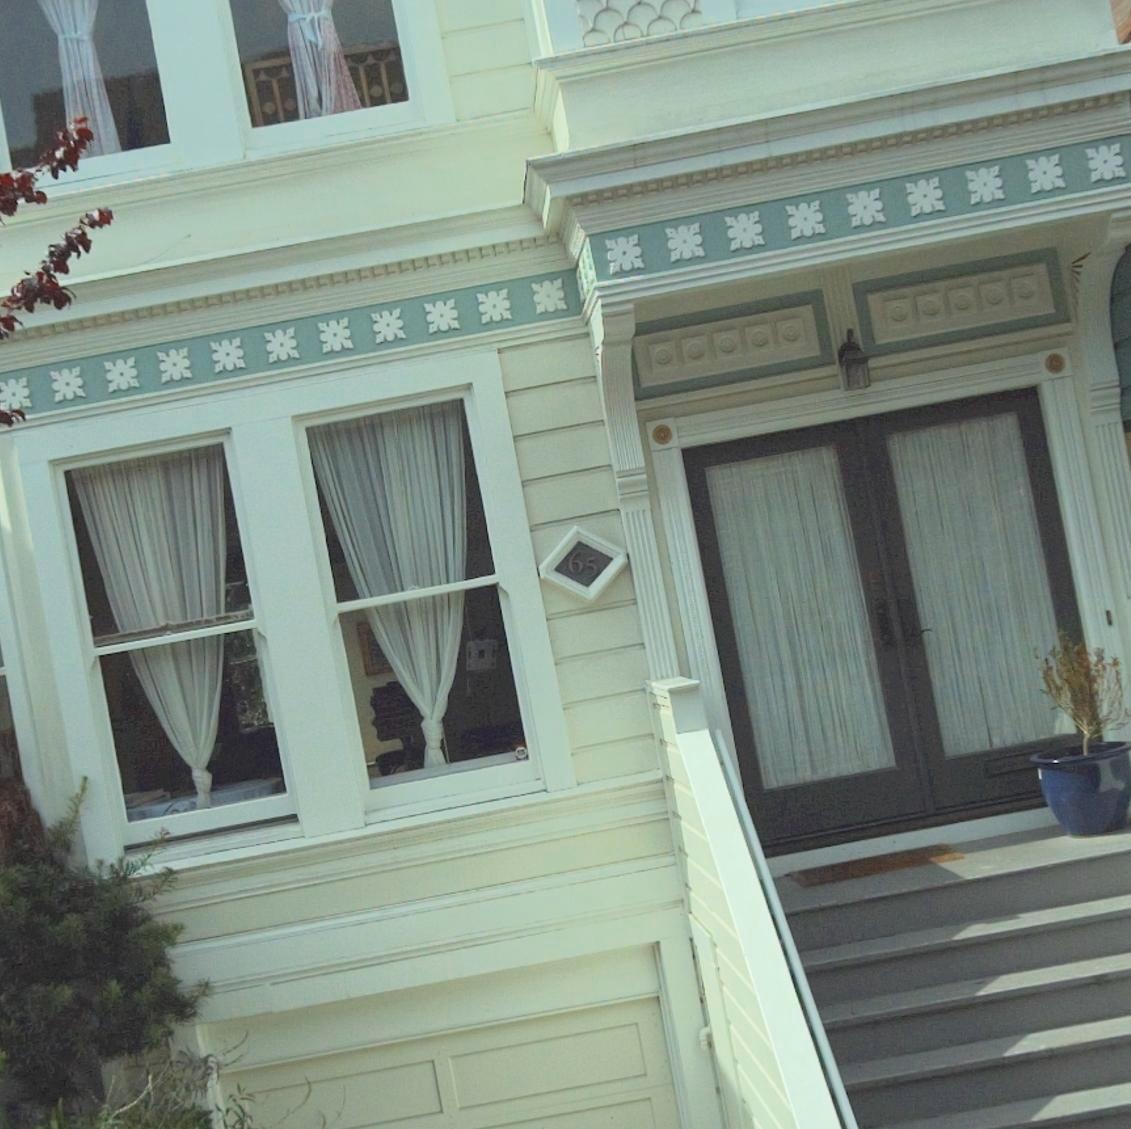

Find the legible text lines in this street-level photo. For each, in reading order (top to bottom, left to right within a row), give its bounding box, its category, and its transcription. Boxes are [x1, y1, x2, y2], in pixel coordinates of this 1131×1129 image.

[565, 547, 599, 579] StreetNumber: 65